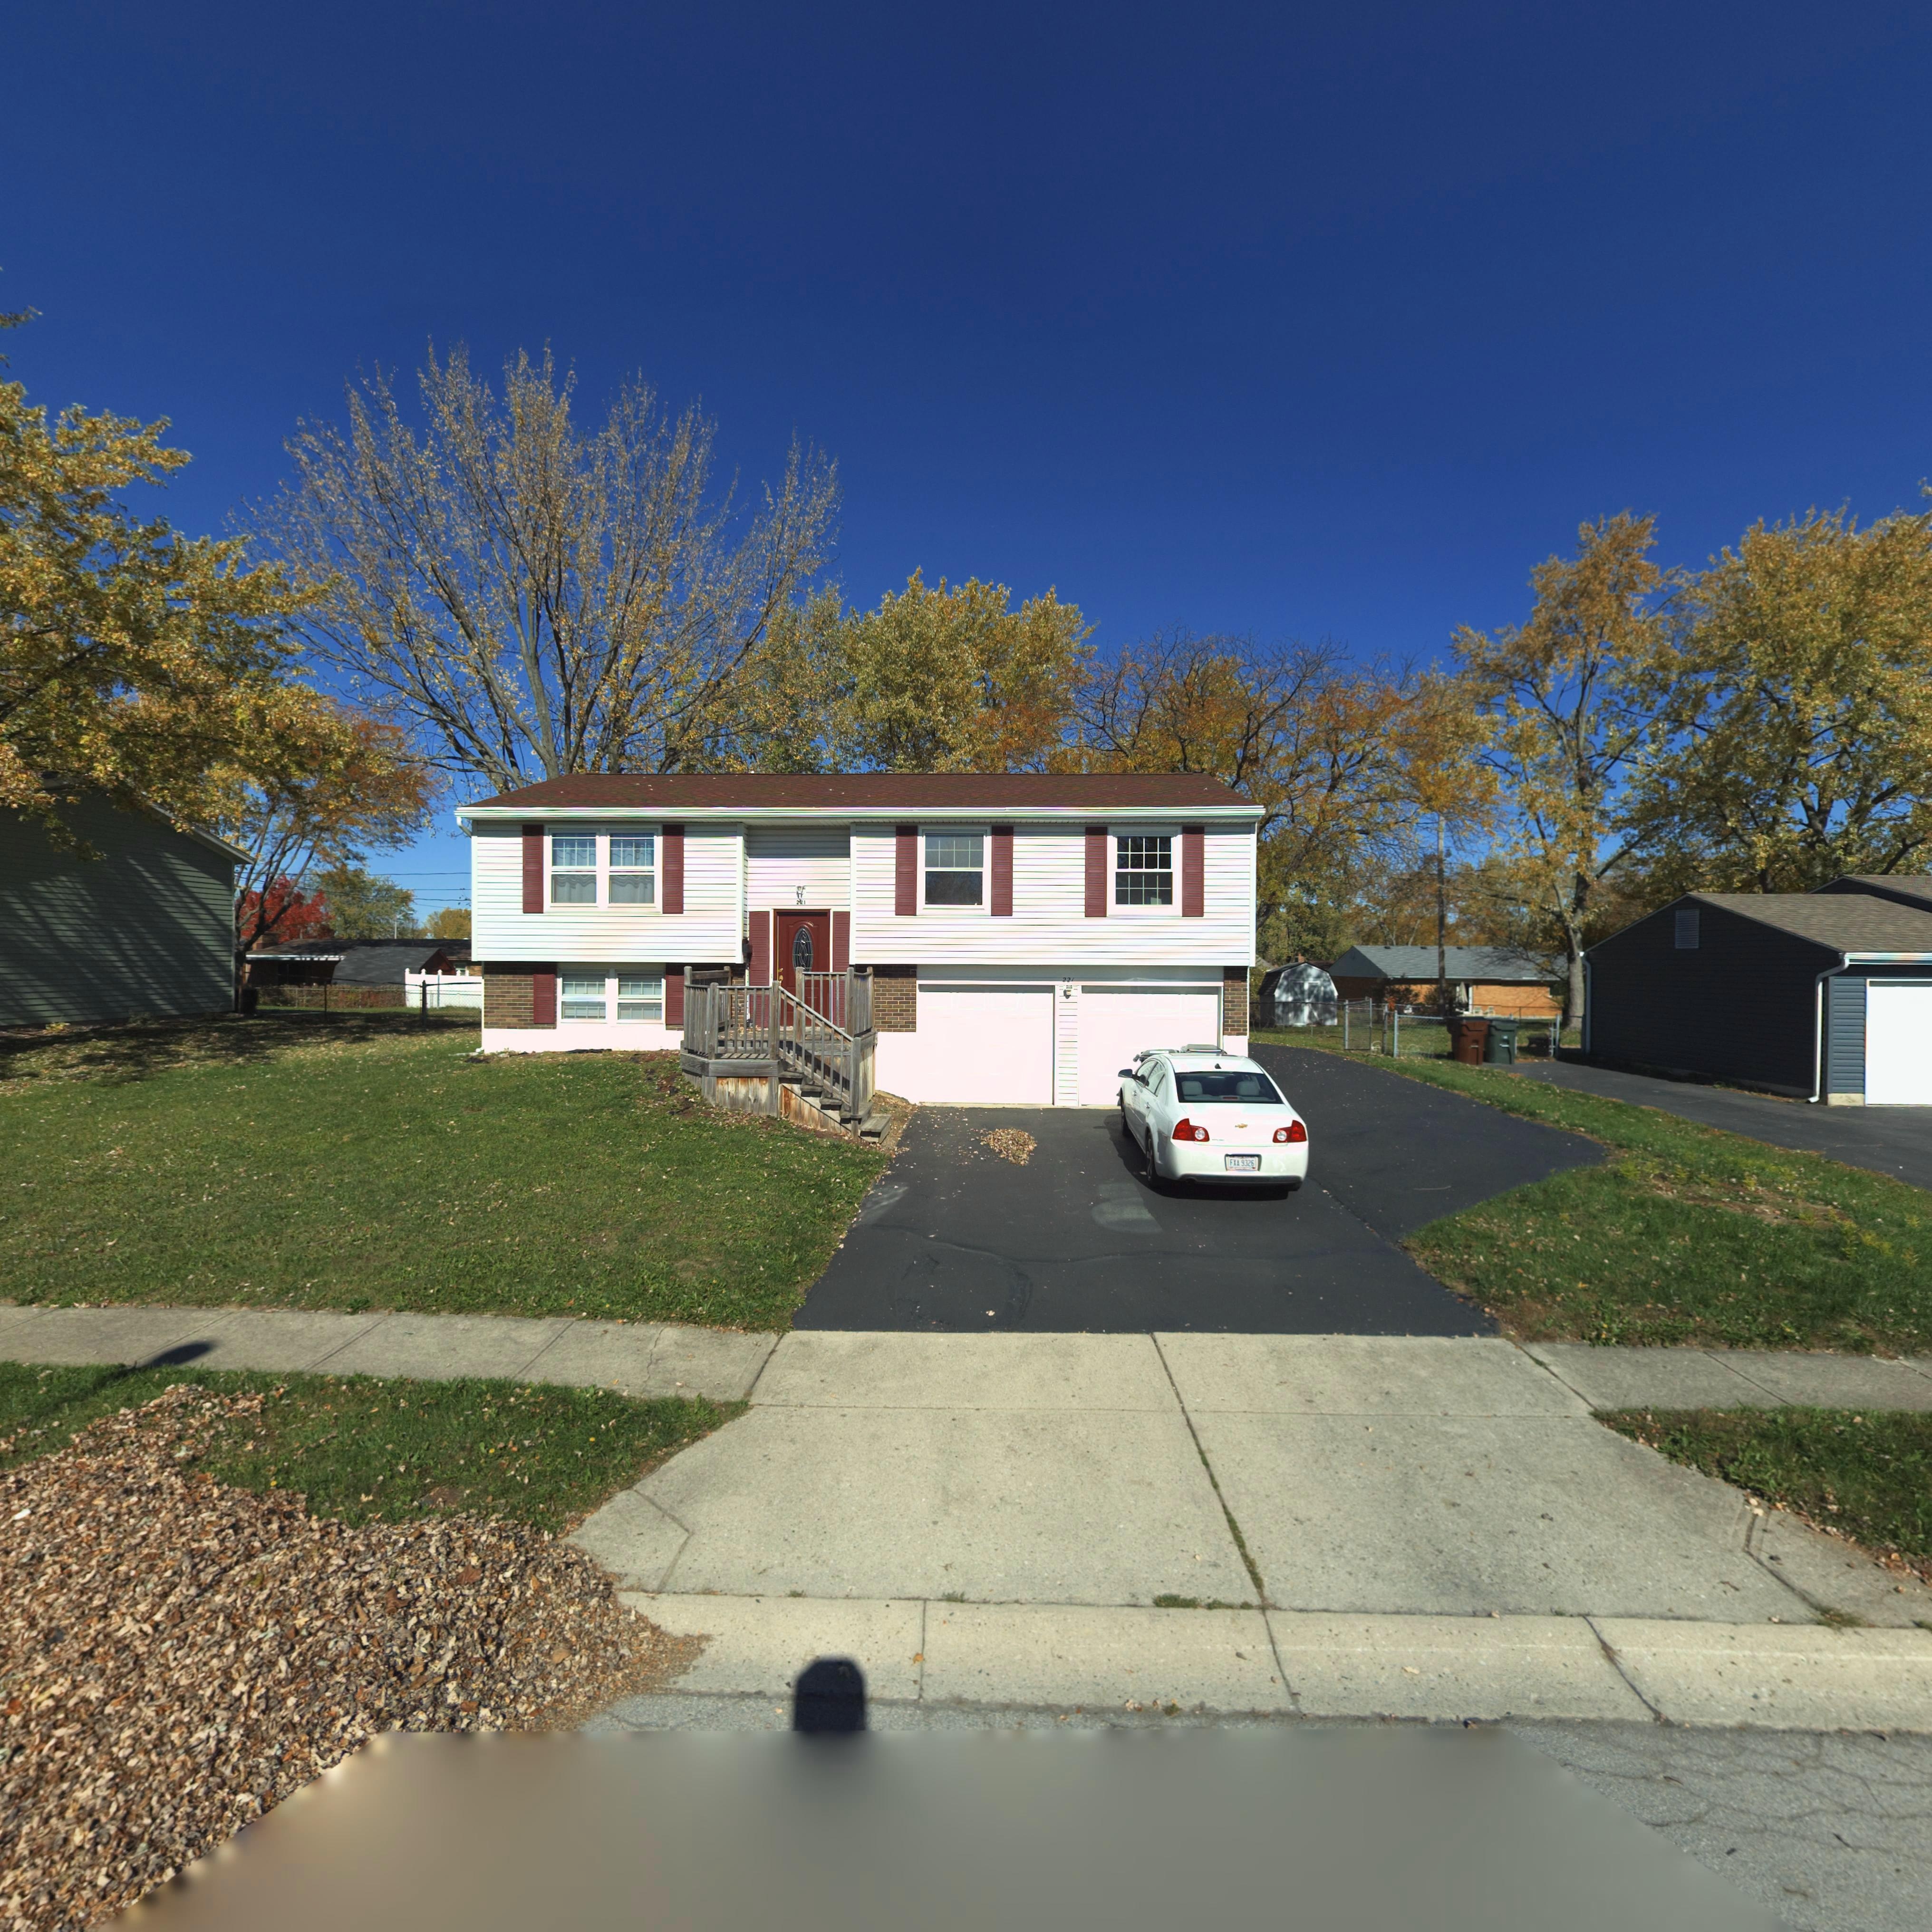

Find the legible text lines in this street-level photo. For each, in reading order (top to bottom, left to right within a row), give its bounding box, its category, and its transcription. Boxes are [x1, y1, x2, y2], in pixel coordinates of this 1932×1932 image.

[796, 900, 806, 905] StreetNumber: 221
[1062, 976, 1075, 983] StreetNumber: 221